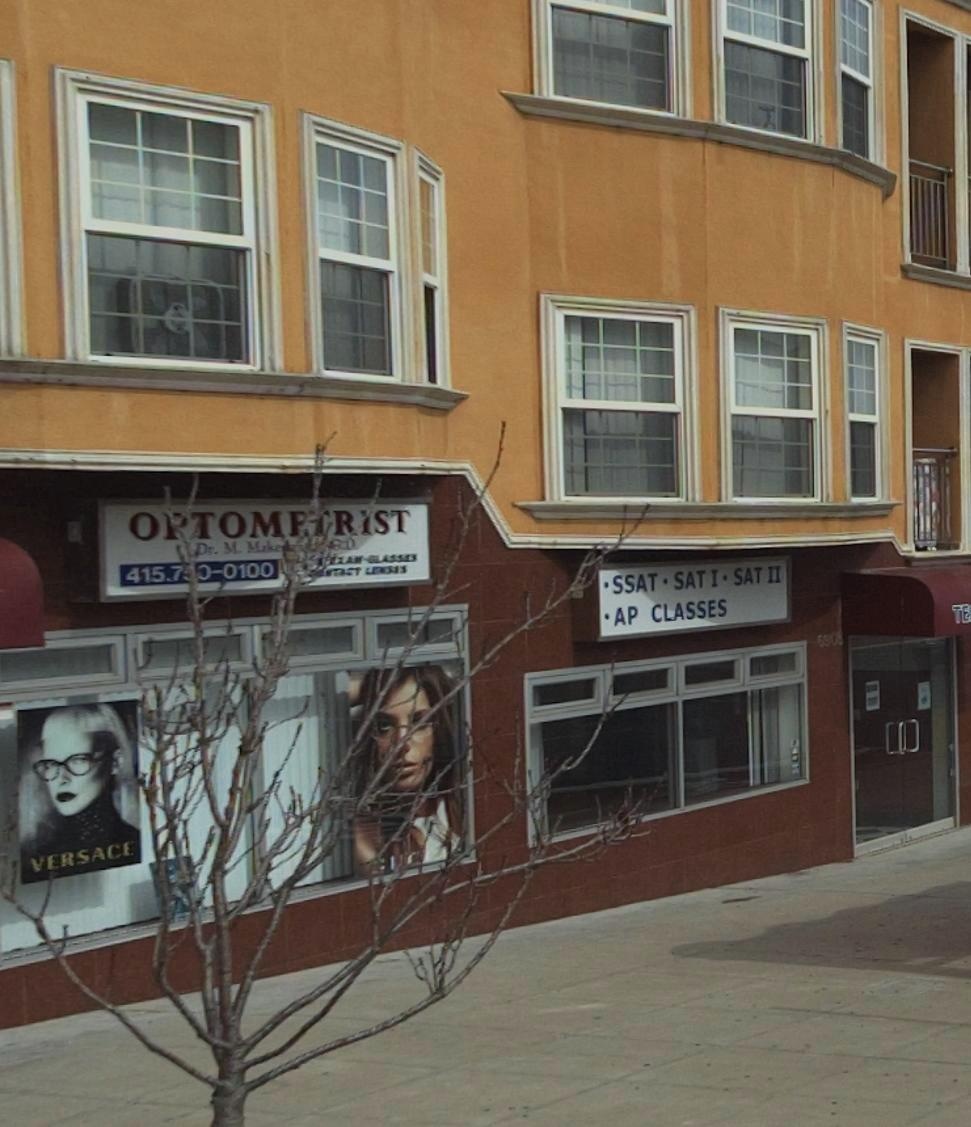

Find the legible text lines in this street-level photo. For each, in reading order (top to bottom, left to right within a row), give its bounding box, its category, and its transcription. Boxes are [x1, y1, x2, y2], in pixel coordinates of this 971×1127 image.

[126, 507, 411, 543] BusinessName: Optemotrist
[121, 560, 276, 587] None: 415.7*0-0100
[194, 537, 287, 556] BusinessName: Dr. M. Make
[330, 563, 412, 578] None: TACT LENSES
[332, 550, 419, 566] None: ZAN GLASSES
[600, 562, 783, 596] None: - SSAT - SAT I - SAT II
[601, 595, 734, 629] None: - AP CLASSES
[949, 602, 971, 626] BusinessName: TE
[811, 627, 847, 655] StreetNumber: 6908
[25, 836, 136, 878] None: VERSACE